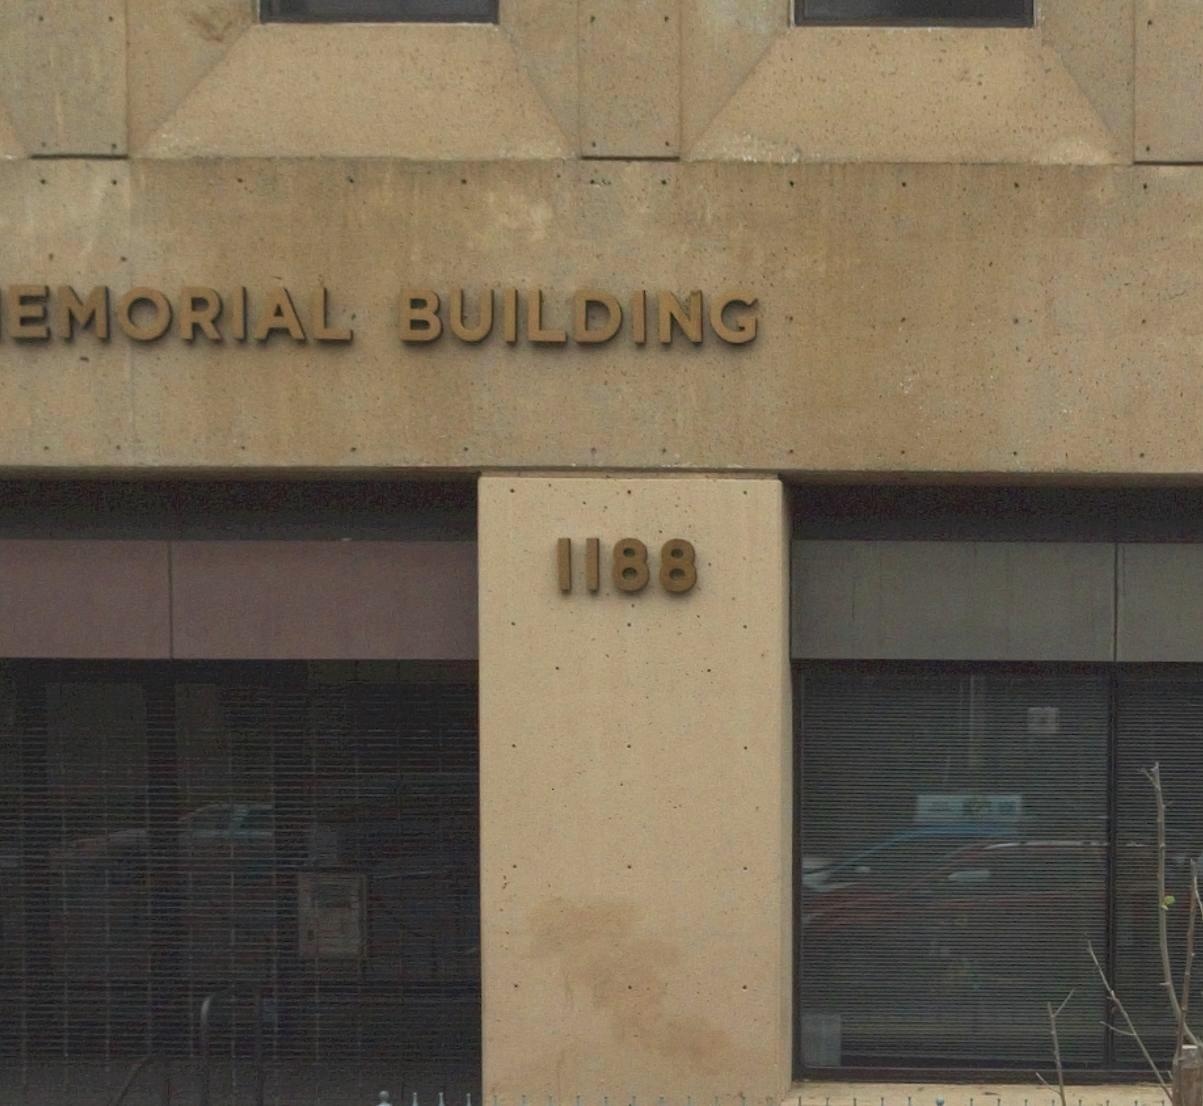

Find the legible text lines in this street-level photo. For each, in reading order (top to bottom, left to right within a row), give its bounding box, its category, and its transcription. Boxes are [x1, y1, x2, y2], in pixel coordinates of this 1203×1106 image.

[2, 282, 761, 346] None: EMORIAL BUILDING
[554, 533, 699, 597] StreetNumber: 1188